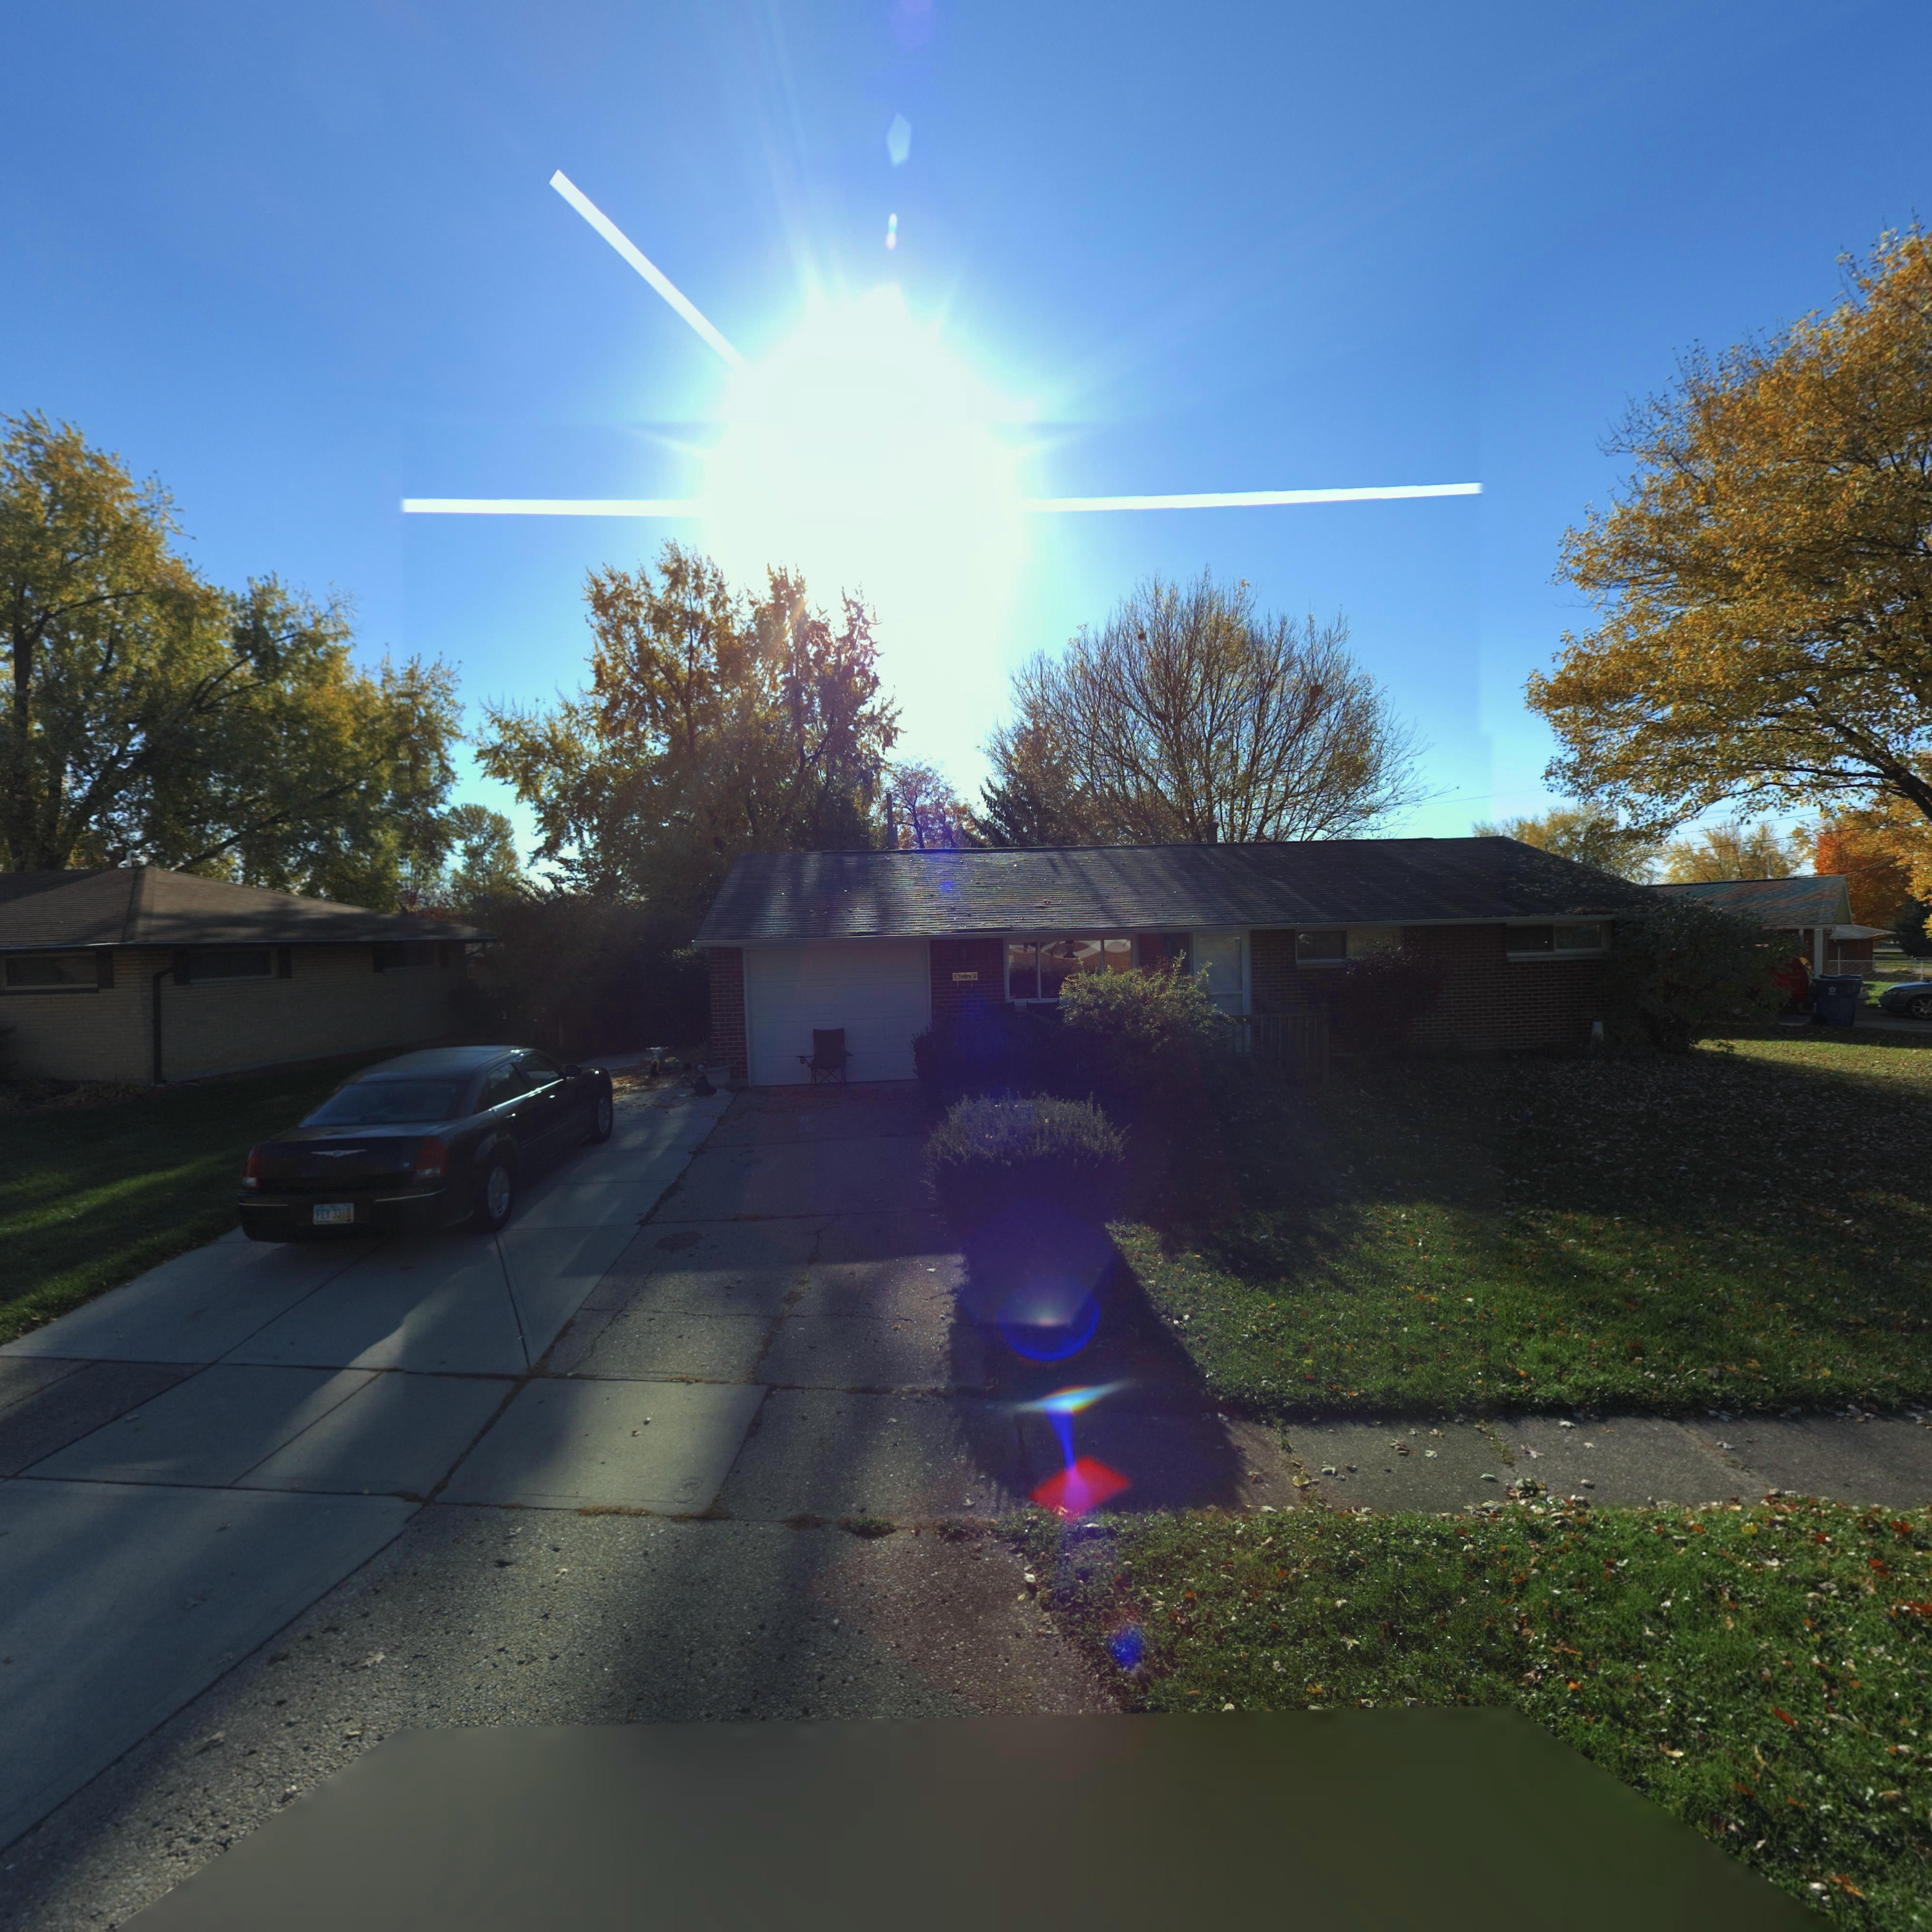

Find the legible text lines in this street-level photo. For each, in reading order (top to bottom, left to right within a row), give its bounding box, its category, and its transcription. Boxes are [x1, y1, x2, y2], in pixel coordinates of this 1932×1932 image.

[1155, 955, 1170, 966] StreetNumber: 75